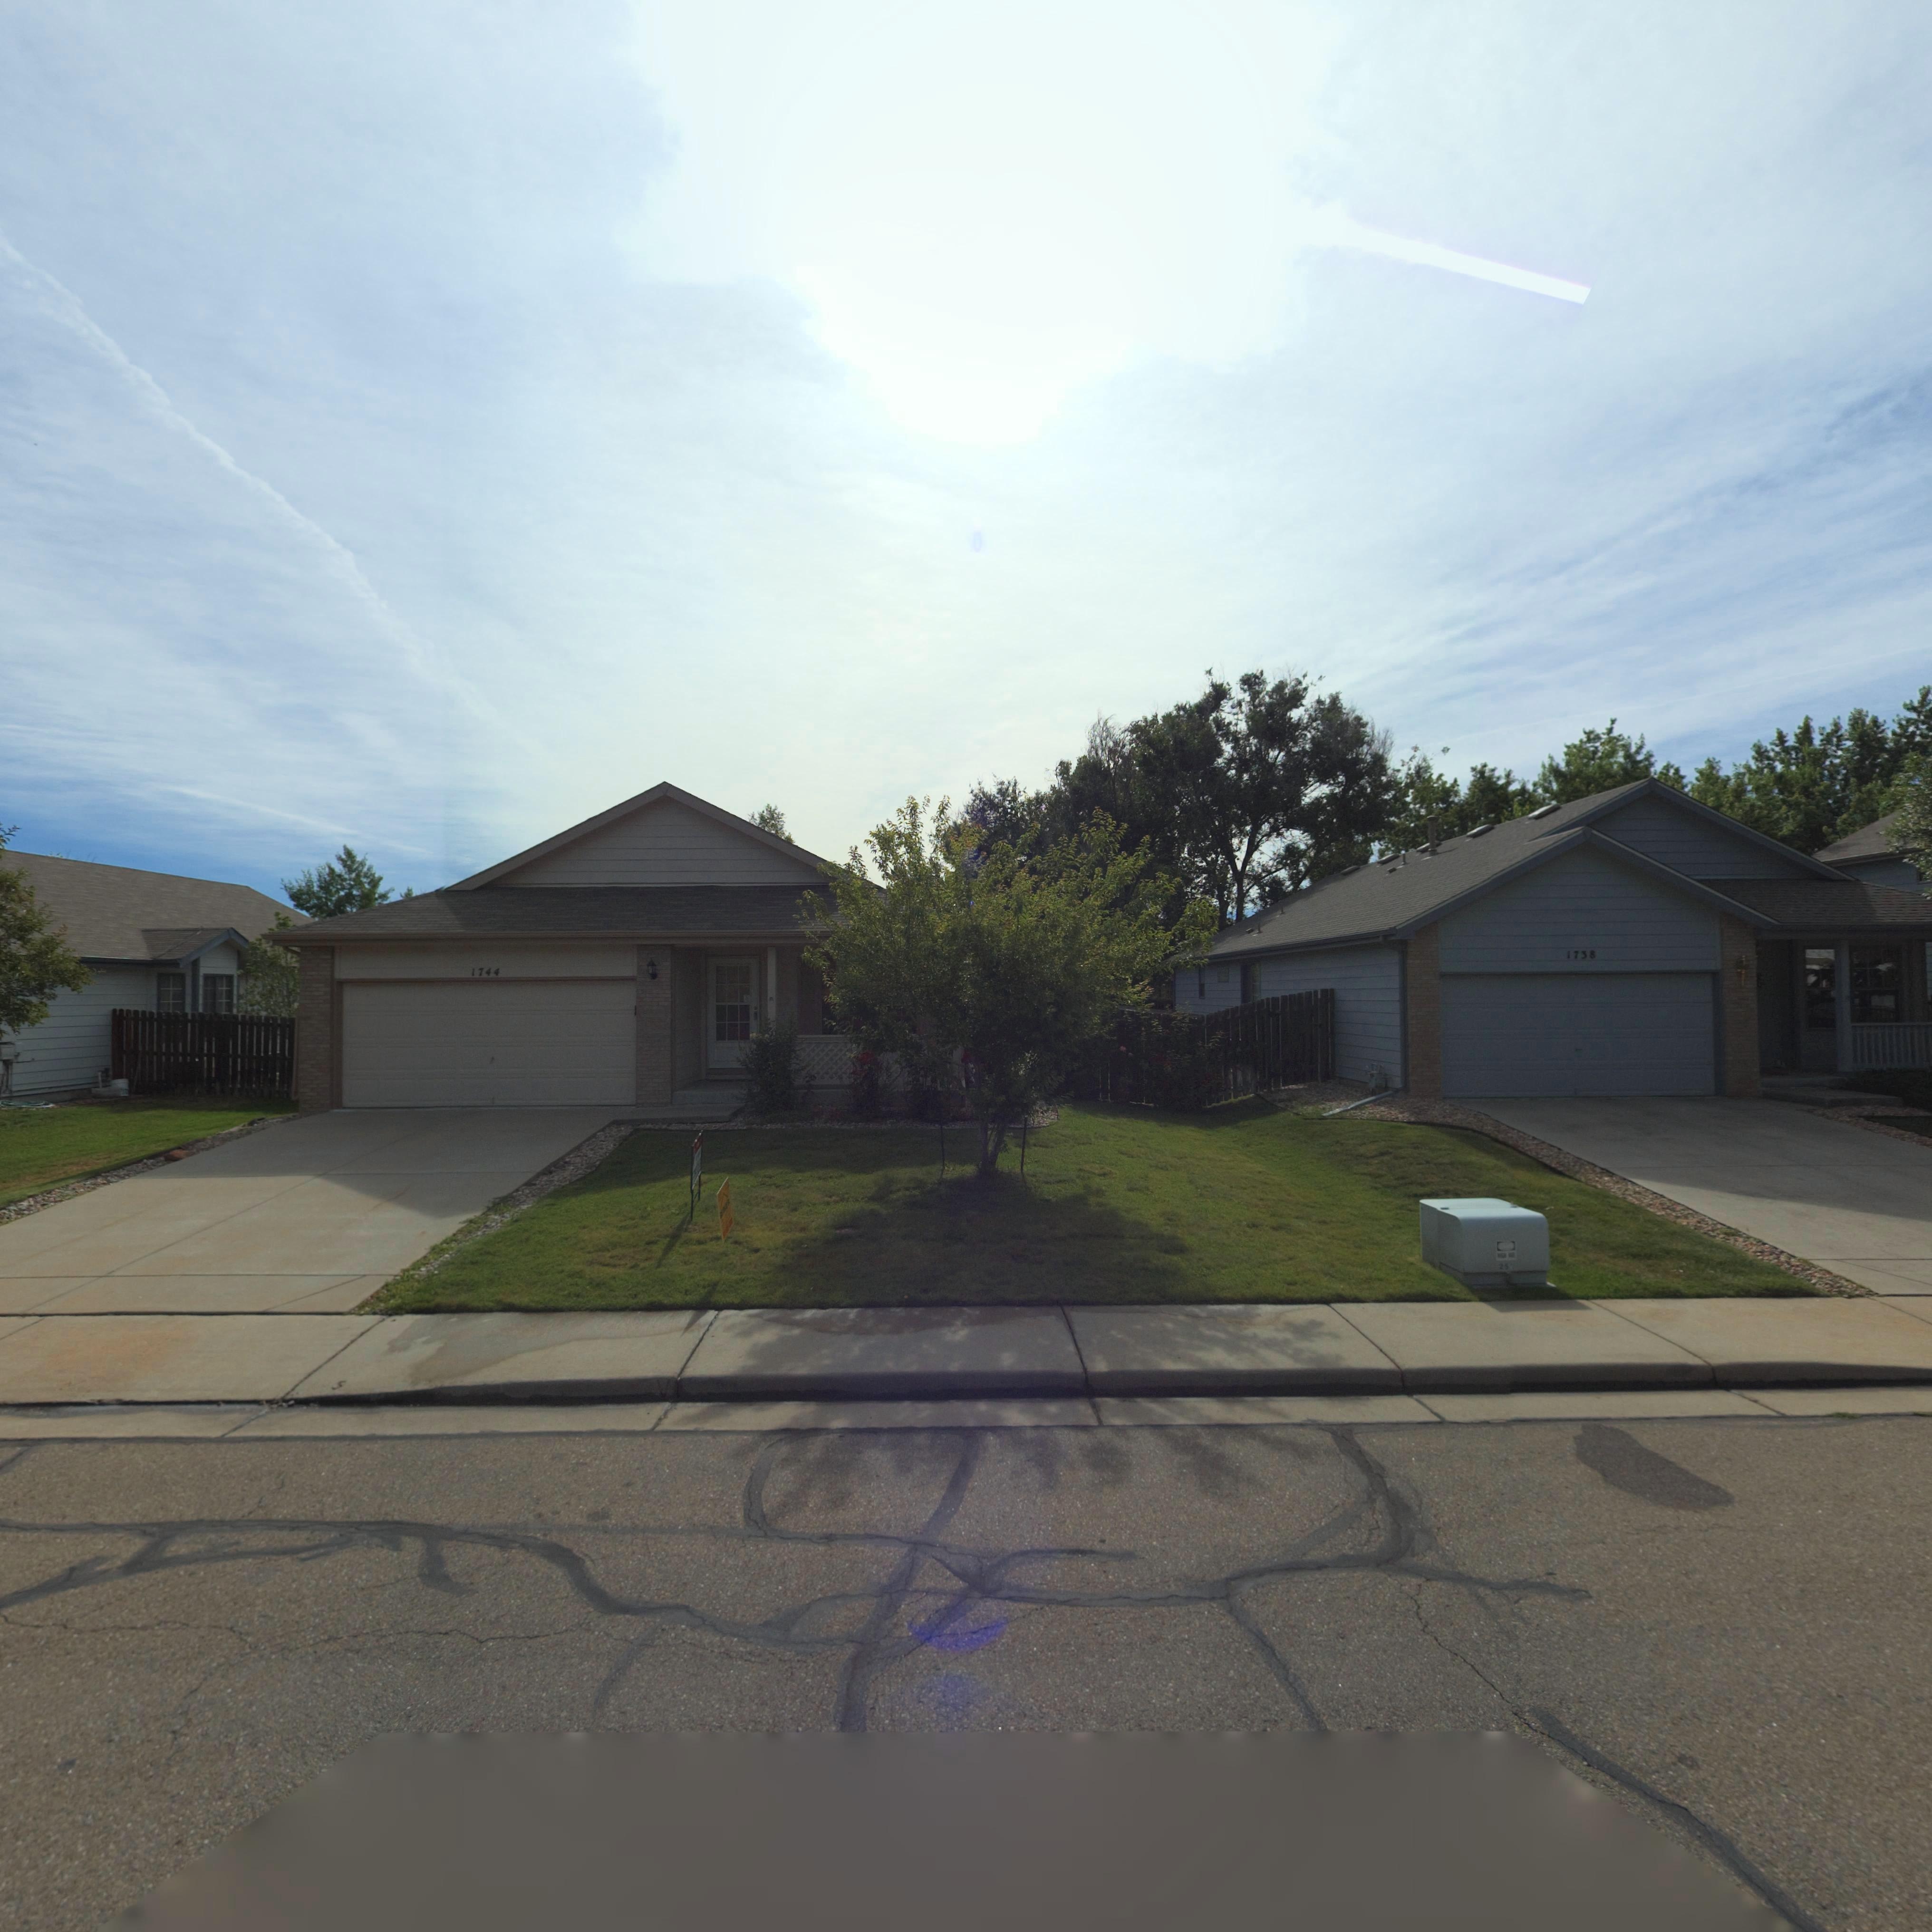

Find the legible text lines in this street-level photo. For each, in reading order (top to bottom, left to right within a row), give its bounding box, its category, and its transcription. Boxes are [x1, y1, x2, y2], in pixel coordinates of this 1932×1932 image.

[1567, 949, 1596, 959] StreetNumber: 1738
[471, 967, 501, 976] StreetNumber: 1744